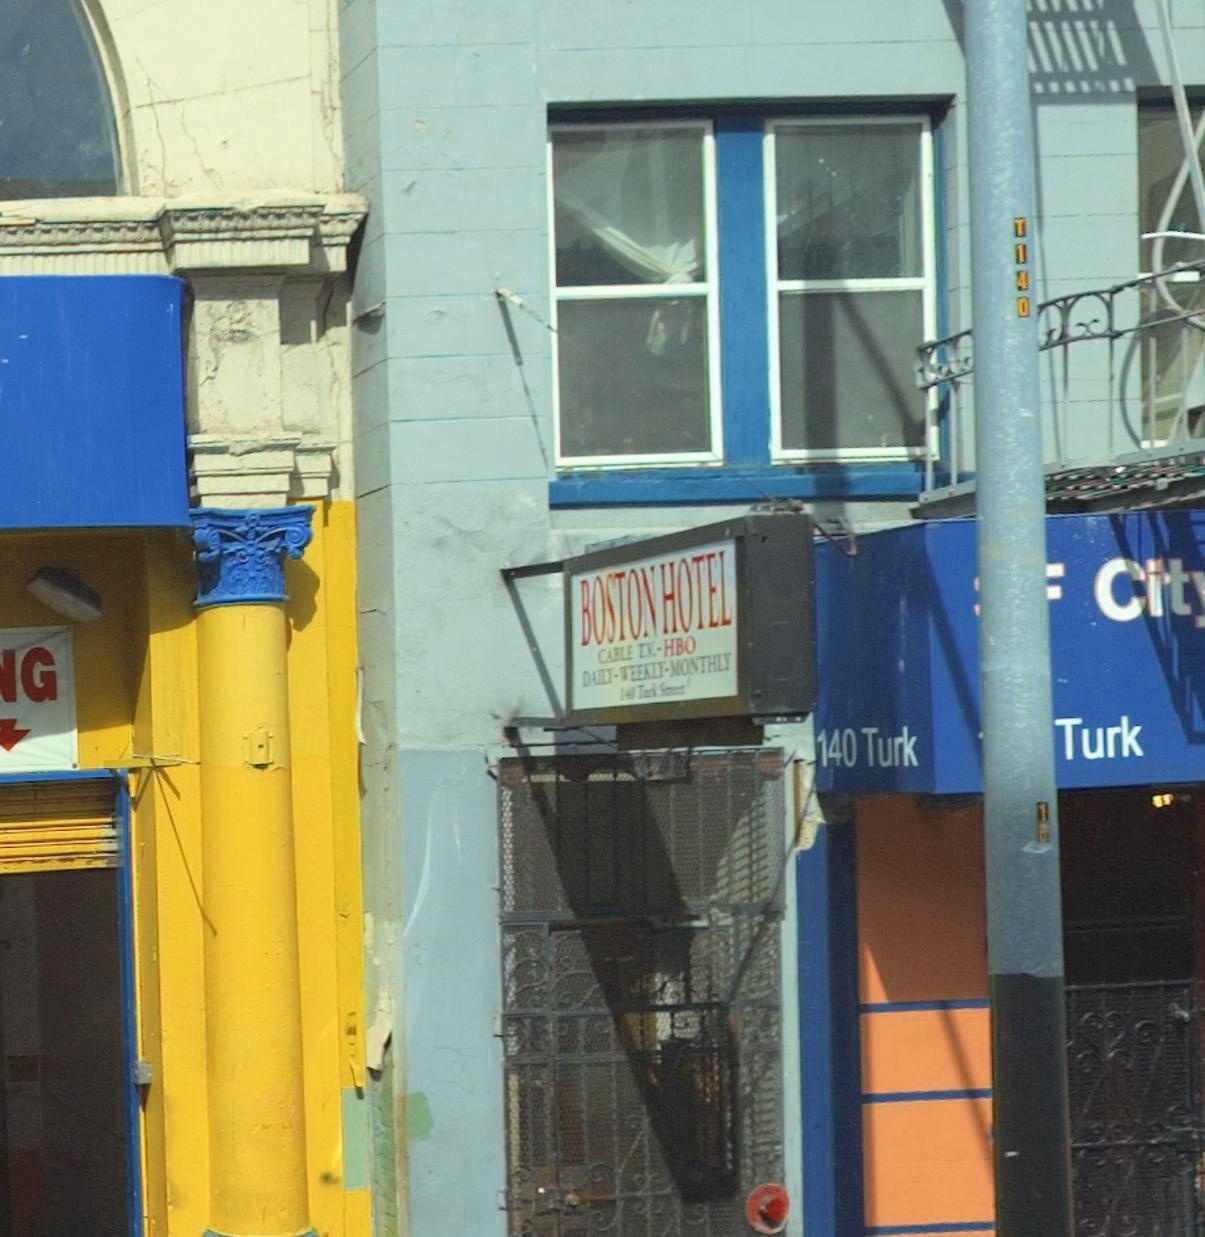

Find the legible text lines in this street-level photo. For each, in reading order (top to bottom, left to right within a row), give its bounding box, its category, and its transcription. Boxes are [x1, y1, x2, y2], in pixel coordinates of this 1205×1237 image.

[1012, 217, 1031, 320] None: T140
[578, 548, 735, 649] BusinessName: BOSTON HOTEL
[1088, 554, 1194, 625] BusinessName: Cit
[18, 644, 60, 705] None: G
[616, 683, 637, 704] None: 140
[593, 632, 700, 668] None: CABLE T.V. - HBO
[580, 650, 733, 690] None: DAILY - WEEKLY - MONTHLY
[636, 678, 687, 702] None: Turk Street
[815, 725, 859, 770] StreetNumber: 140
[858, 724, 922, 770] StreetName: Turk
[1051, 712, 1148, 763] StreetName: Turk